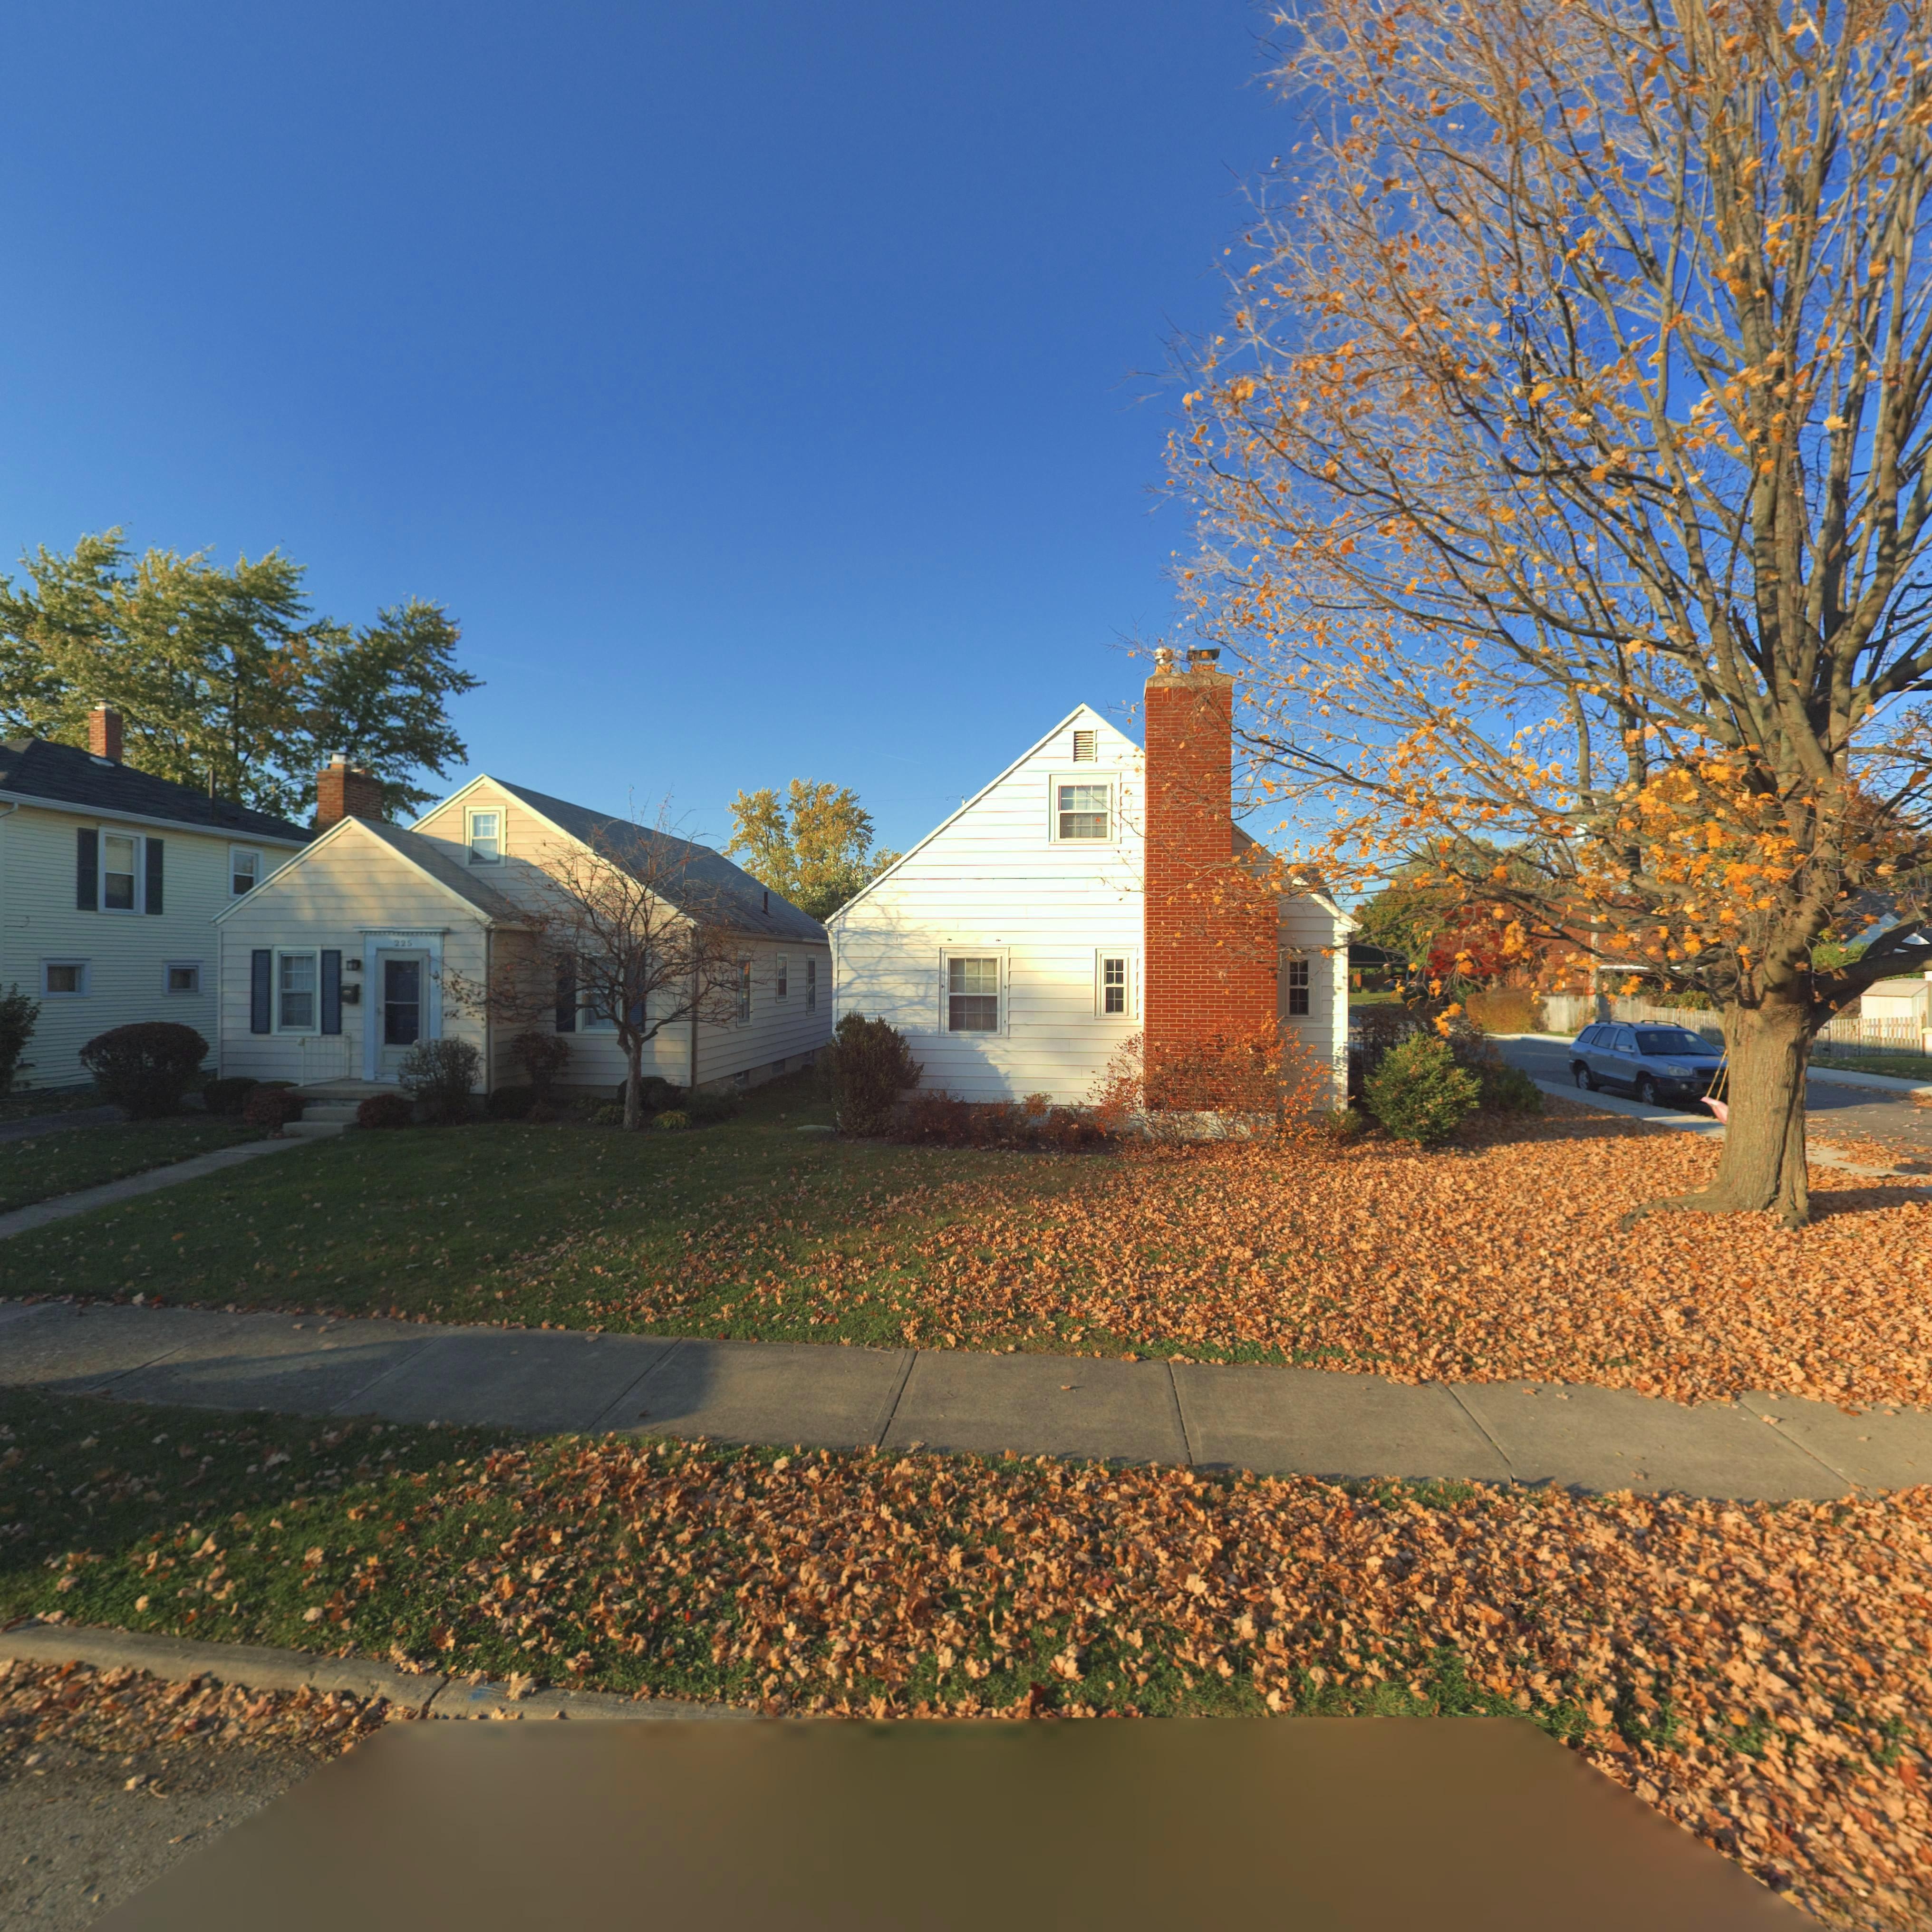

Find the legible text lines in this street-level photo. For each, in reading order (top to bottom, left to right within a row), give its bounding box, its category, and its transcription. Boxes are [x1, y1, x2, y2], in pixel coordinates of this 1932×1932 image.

[394, 939, 413, 947] StreetNumber: 225